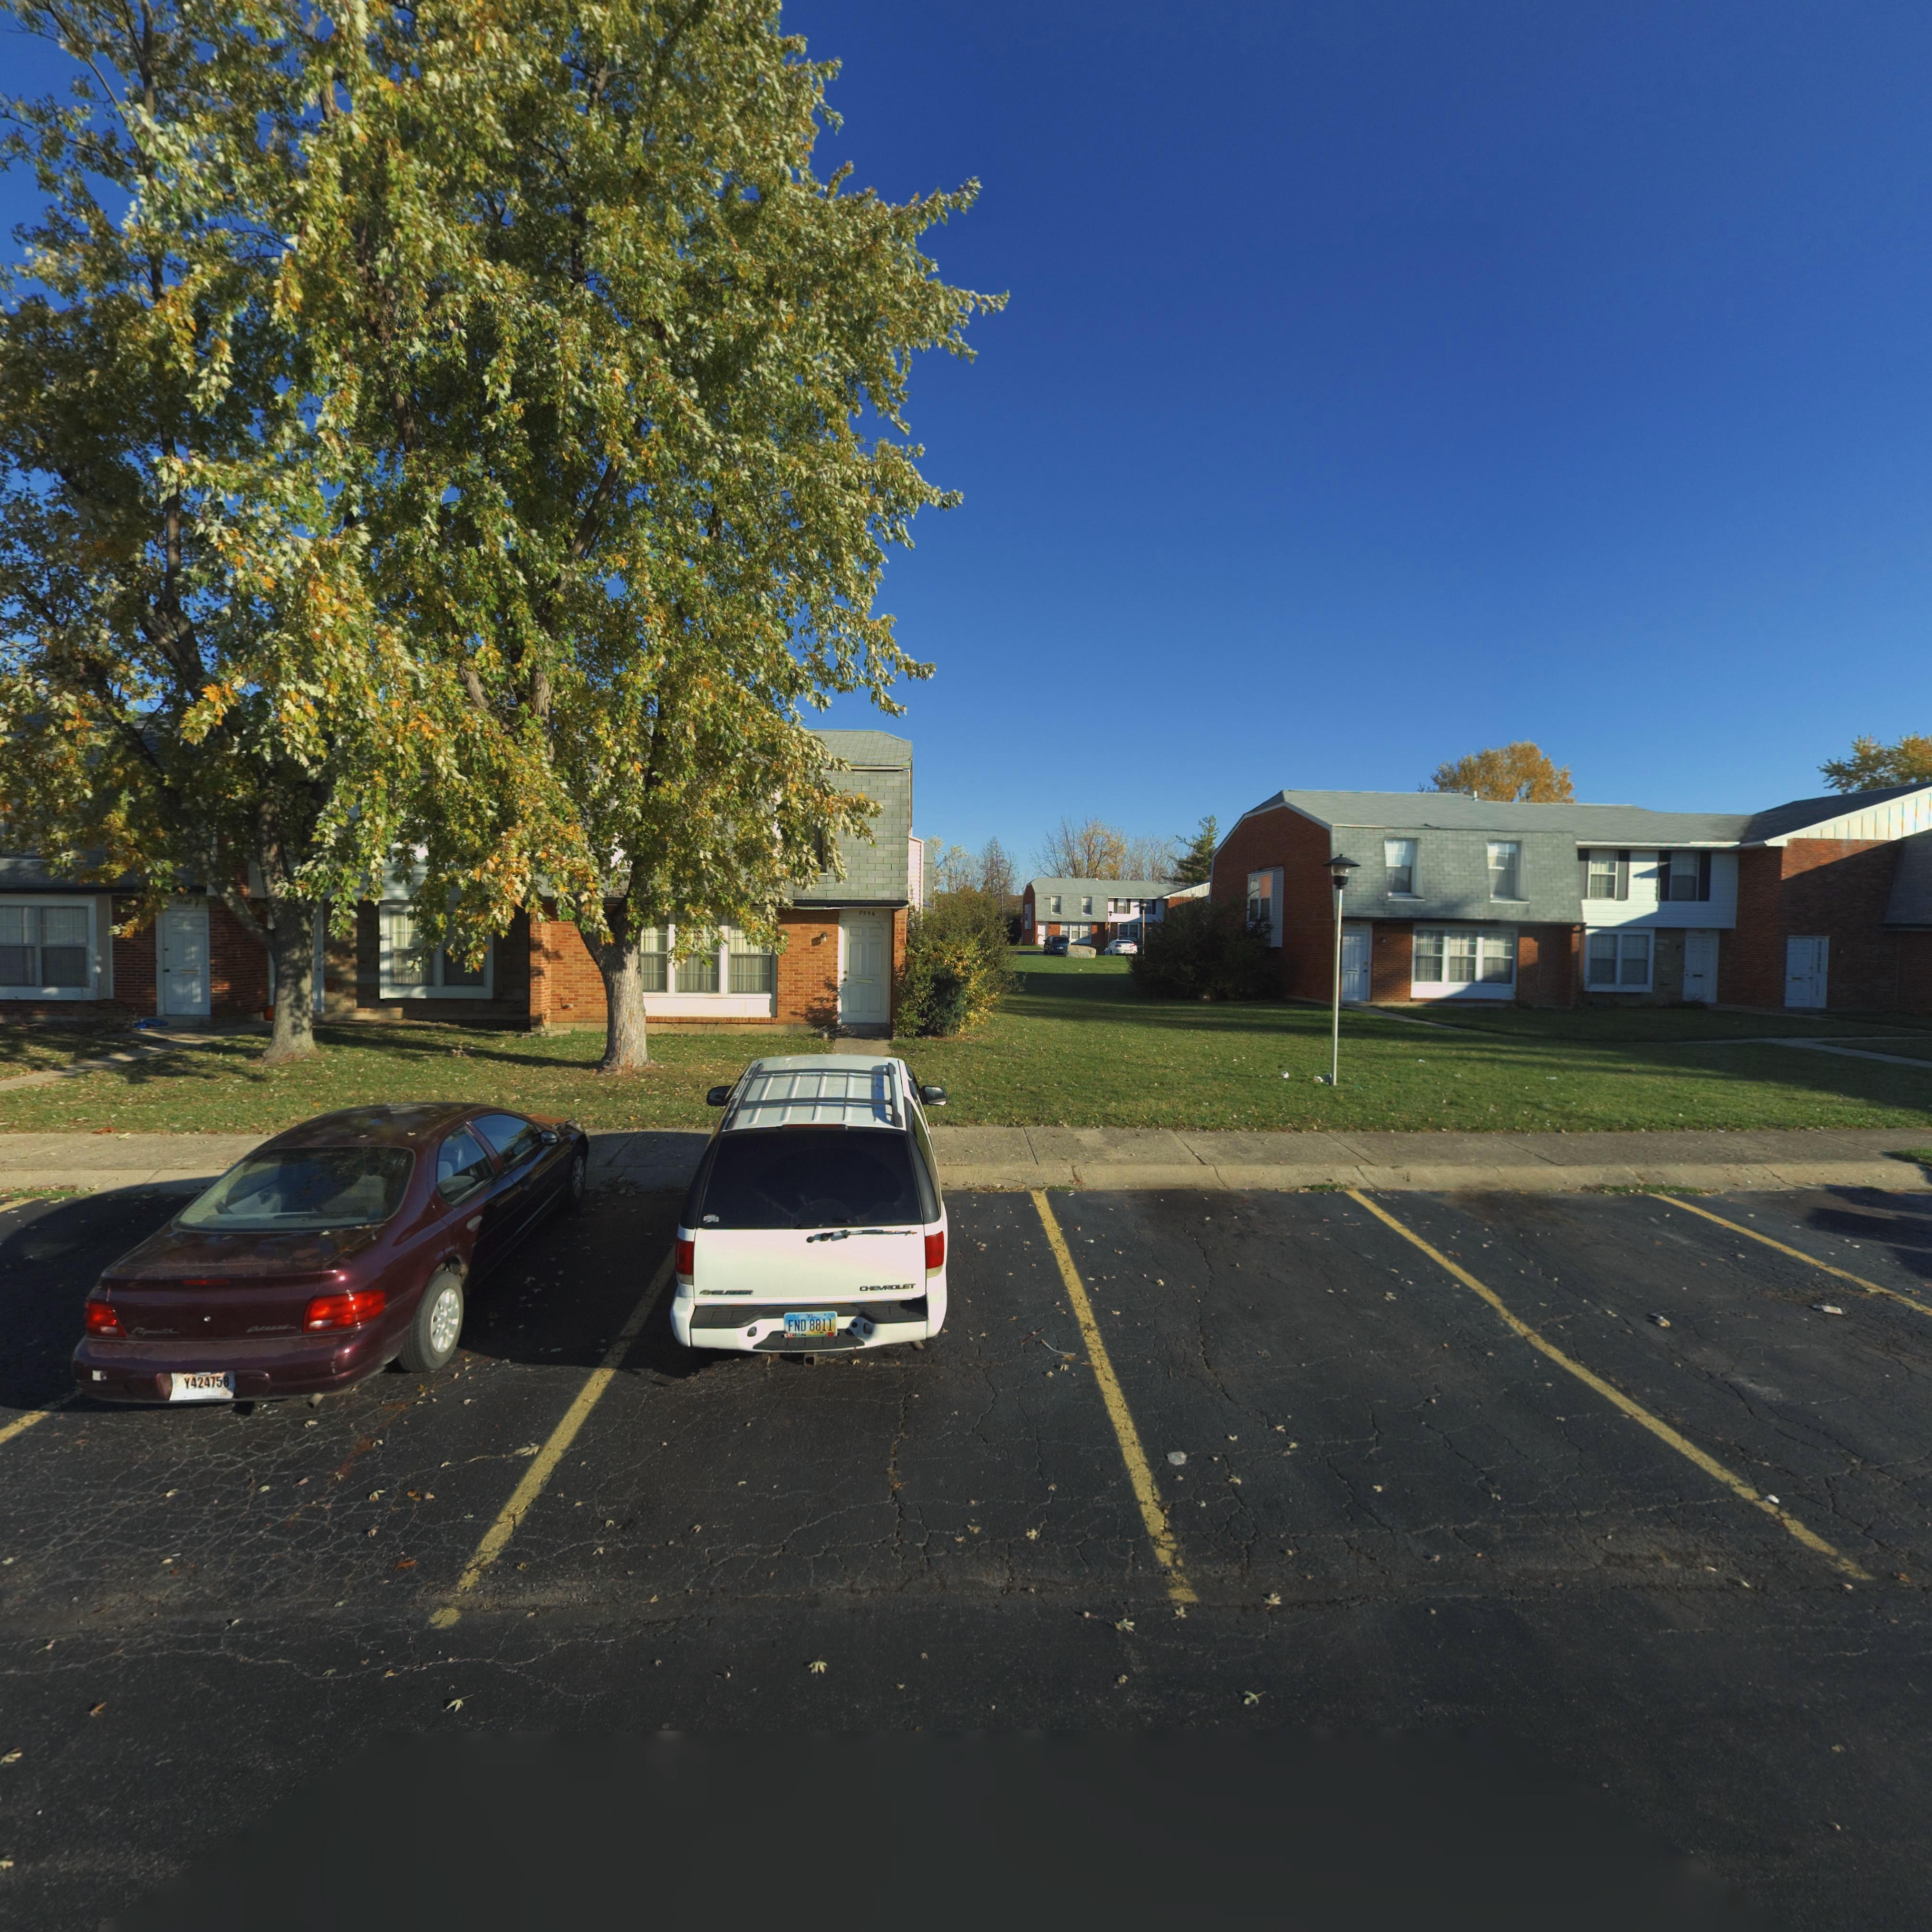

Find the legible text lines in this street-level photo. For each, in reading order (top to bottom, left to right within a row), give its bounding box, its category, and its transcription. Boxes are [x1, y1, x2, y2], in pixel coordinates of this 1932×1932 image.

[174, 897, 193, 907] StreetNumber: 7*6*
[859, 909, 877, 918] StreetNumber: 7556